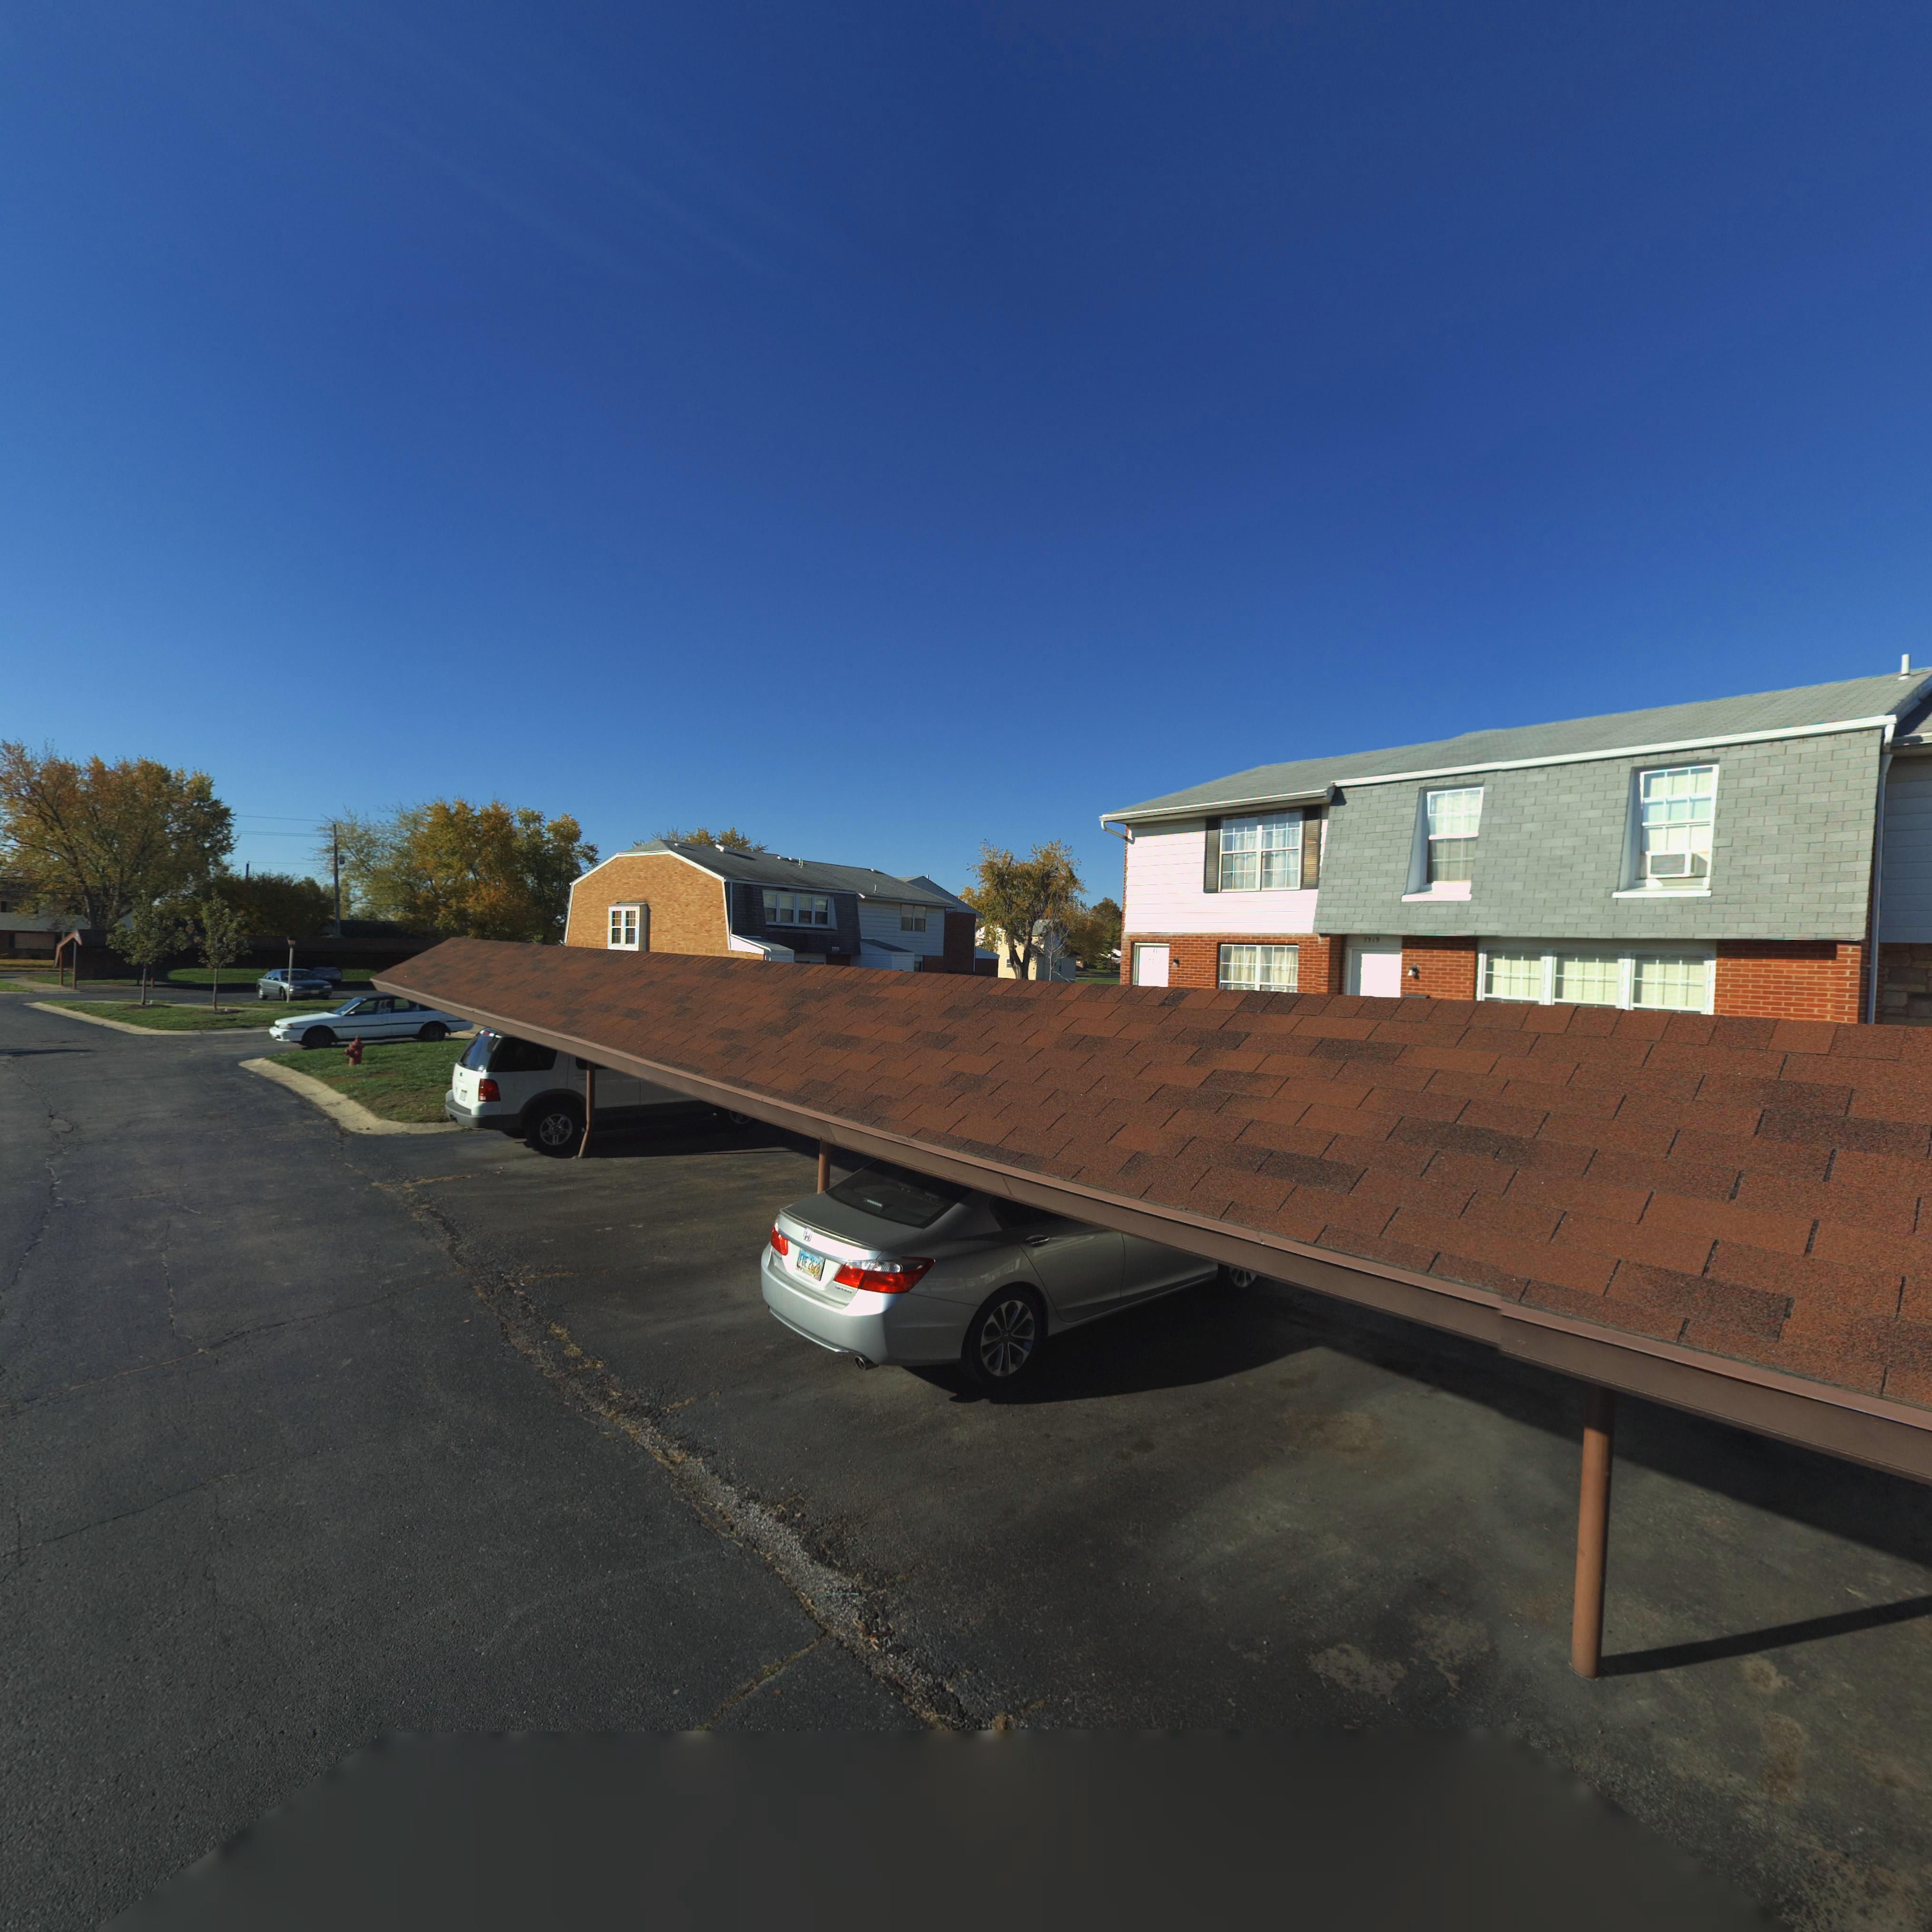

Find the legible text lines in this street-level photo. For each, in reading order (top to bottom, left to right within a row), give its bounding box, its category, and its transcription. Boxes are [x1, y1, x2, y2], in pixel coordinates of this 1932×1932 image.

[1363, 936, 1380, 943] StreetNumber: 7519